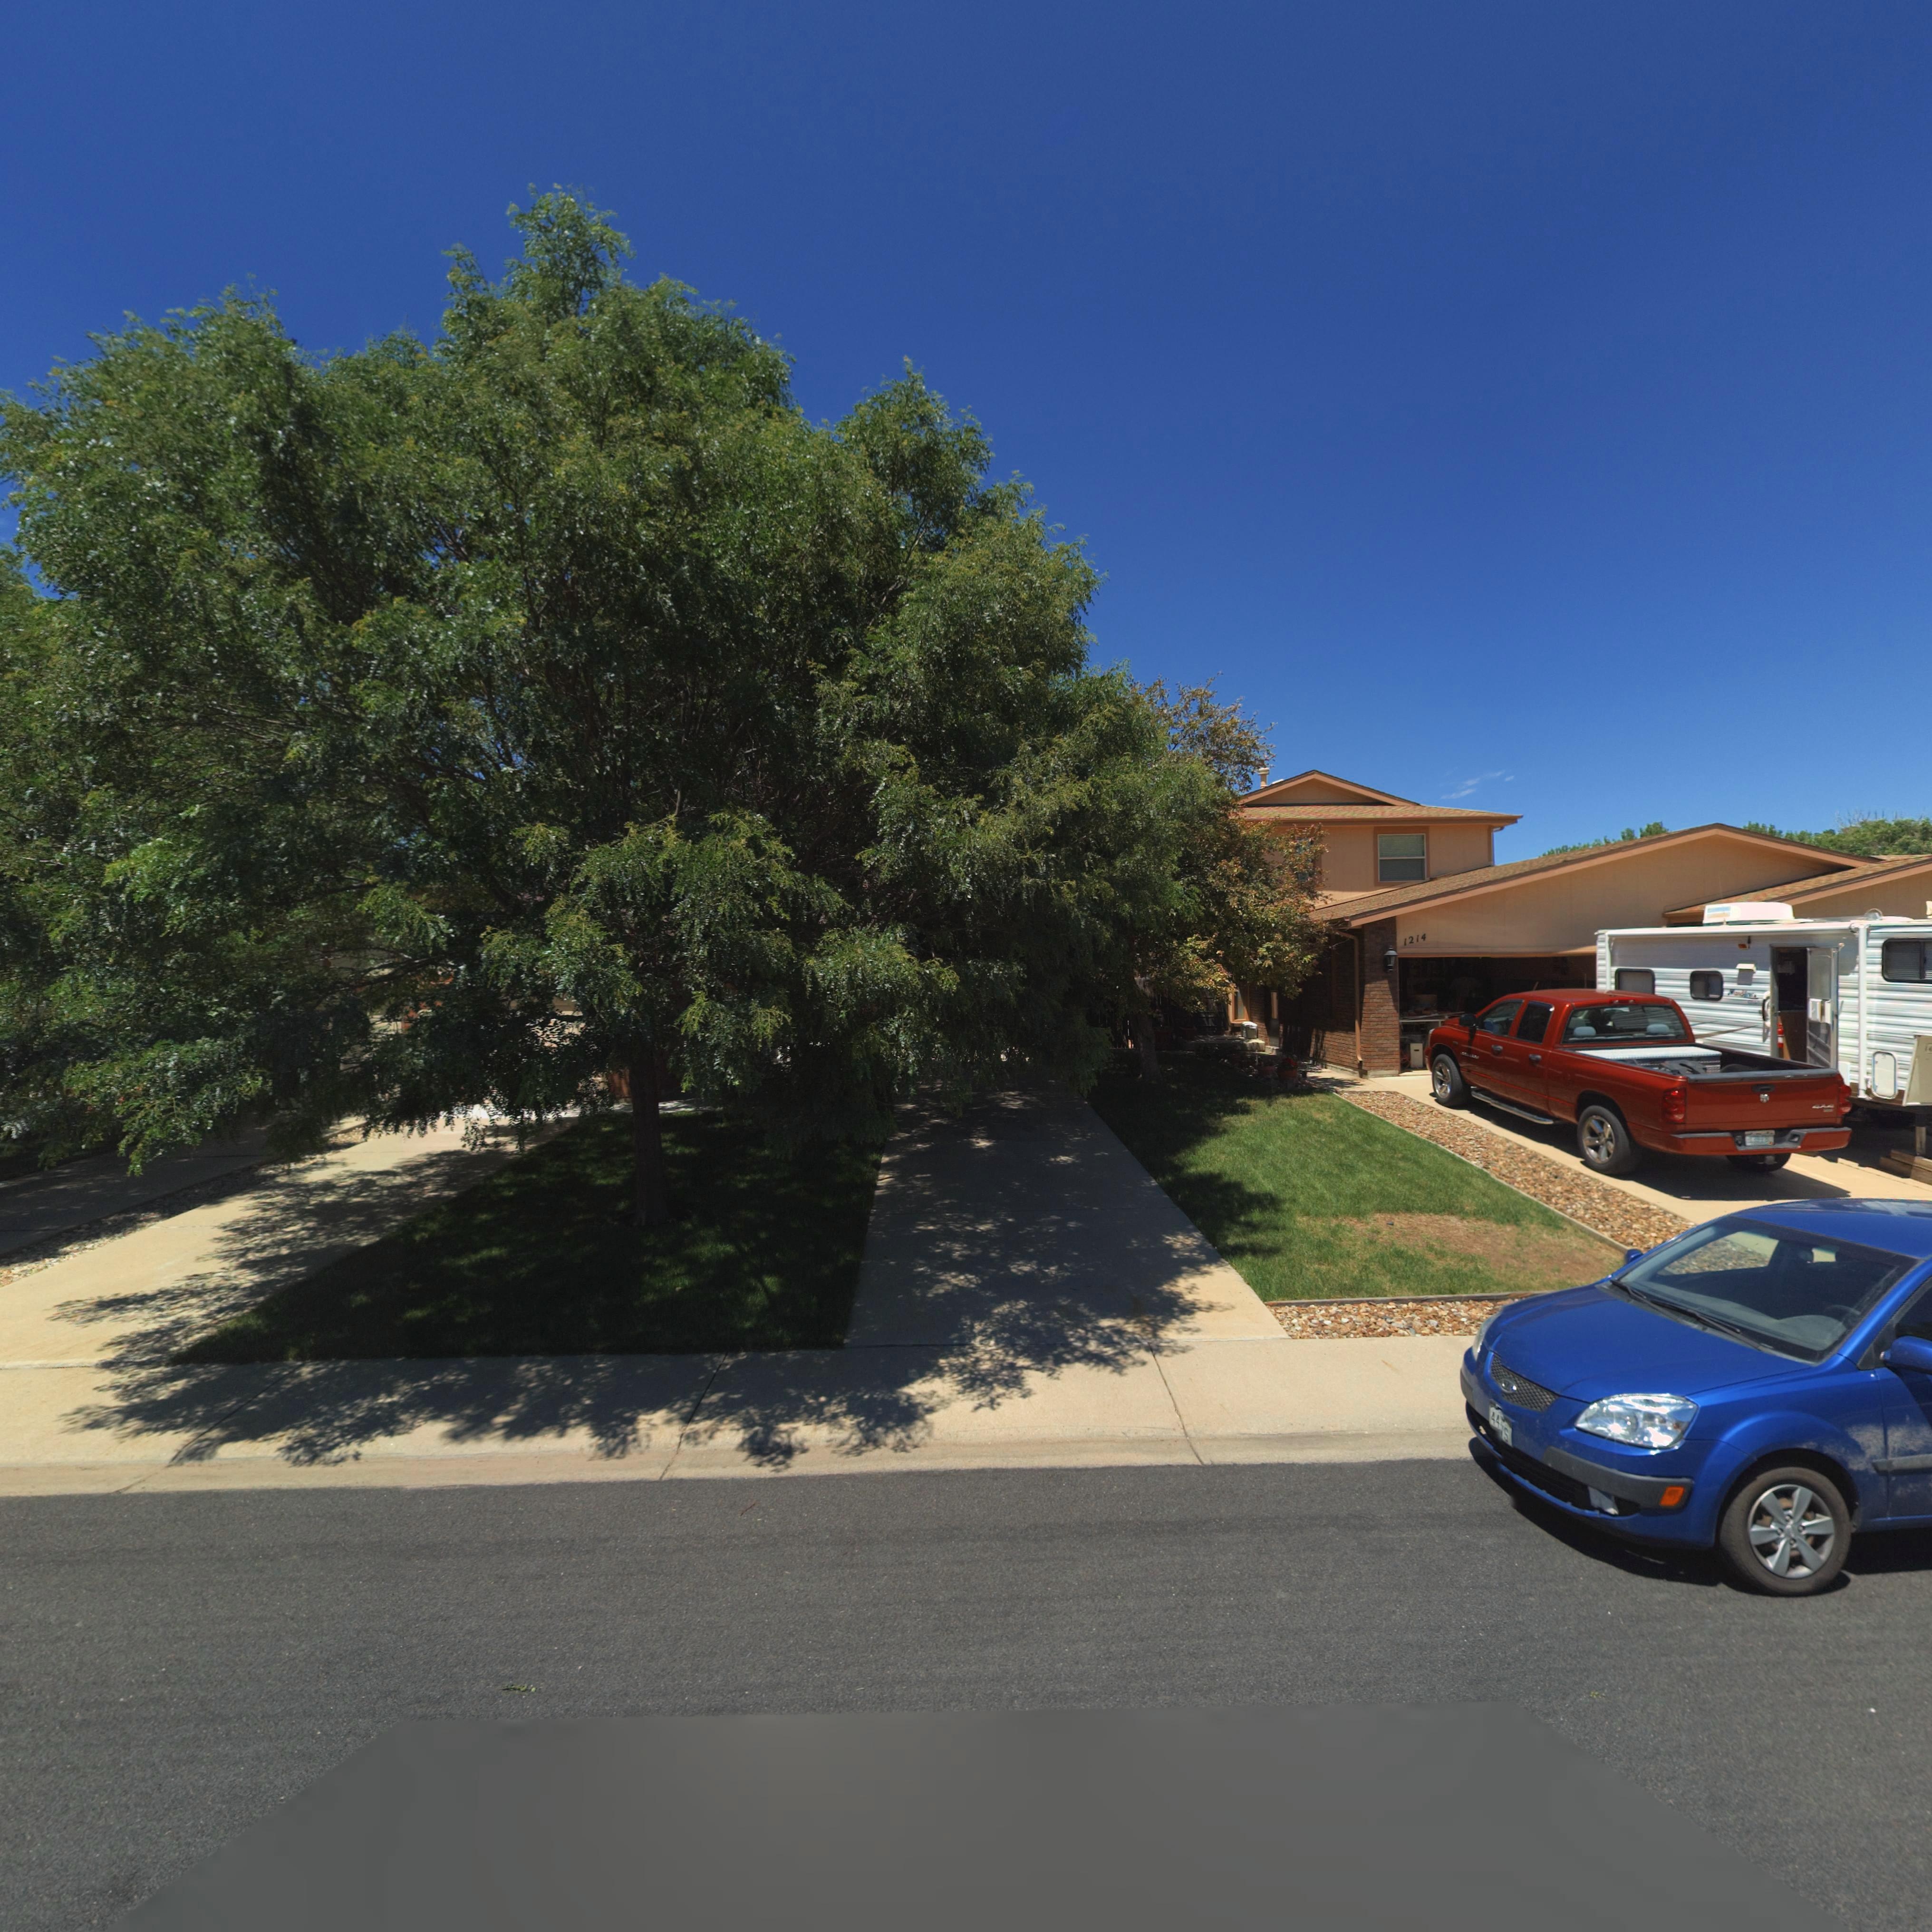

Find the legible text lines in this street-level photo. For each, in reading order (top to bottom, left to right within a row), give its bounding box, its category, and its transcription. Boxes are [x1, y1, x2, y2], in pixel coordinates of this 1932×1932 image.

[1403, 932, 1427, 947] StreetNumber: 1214